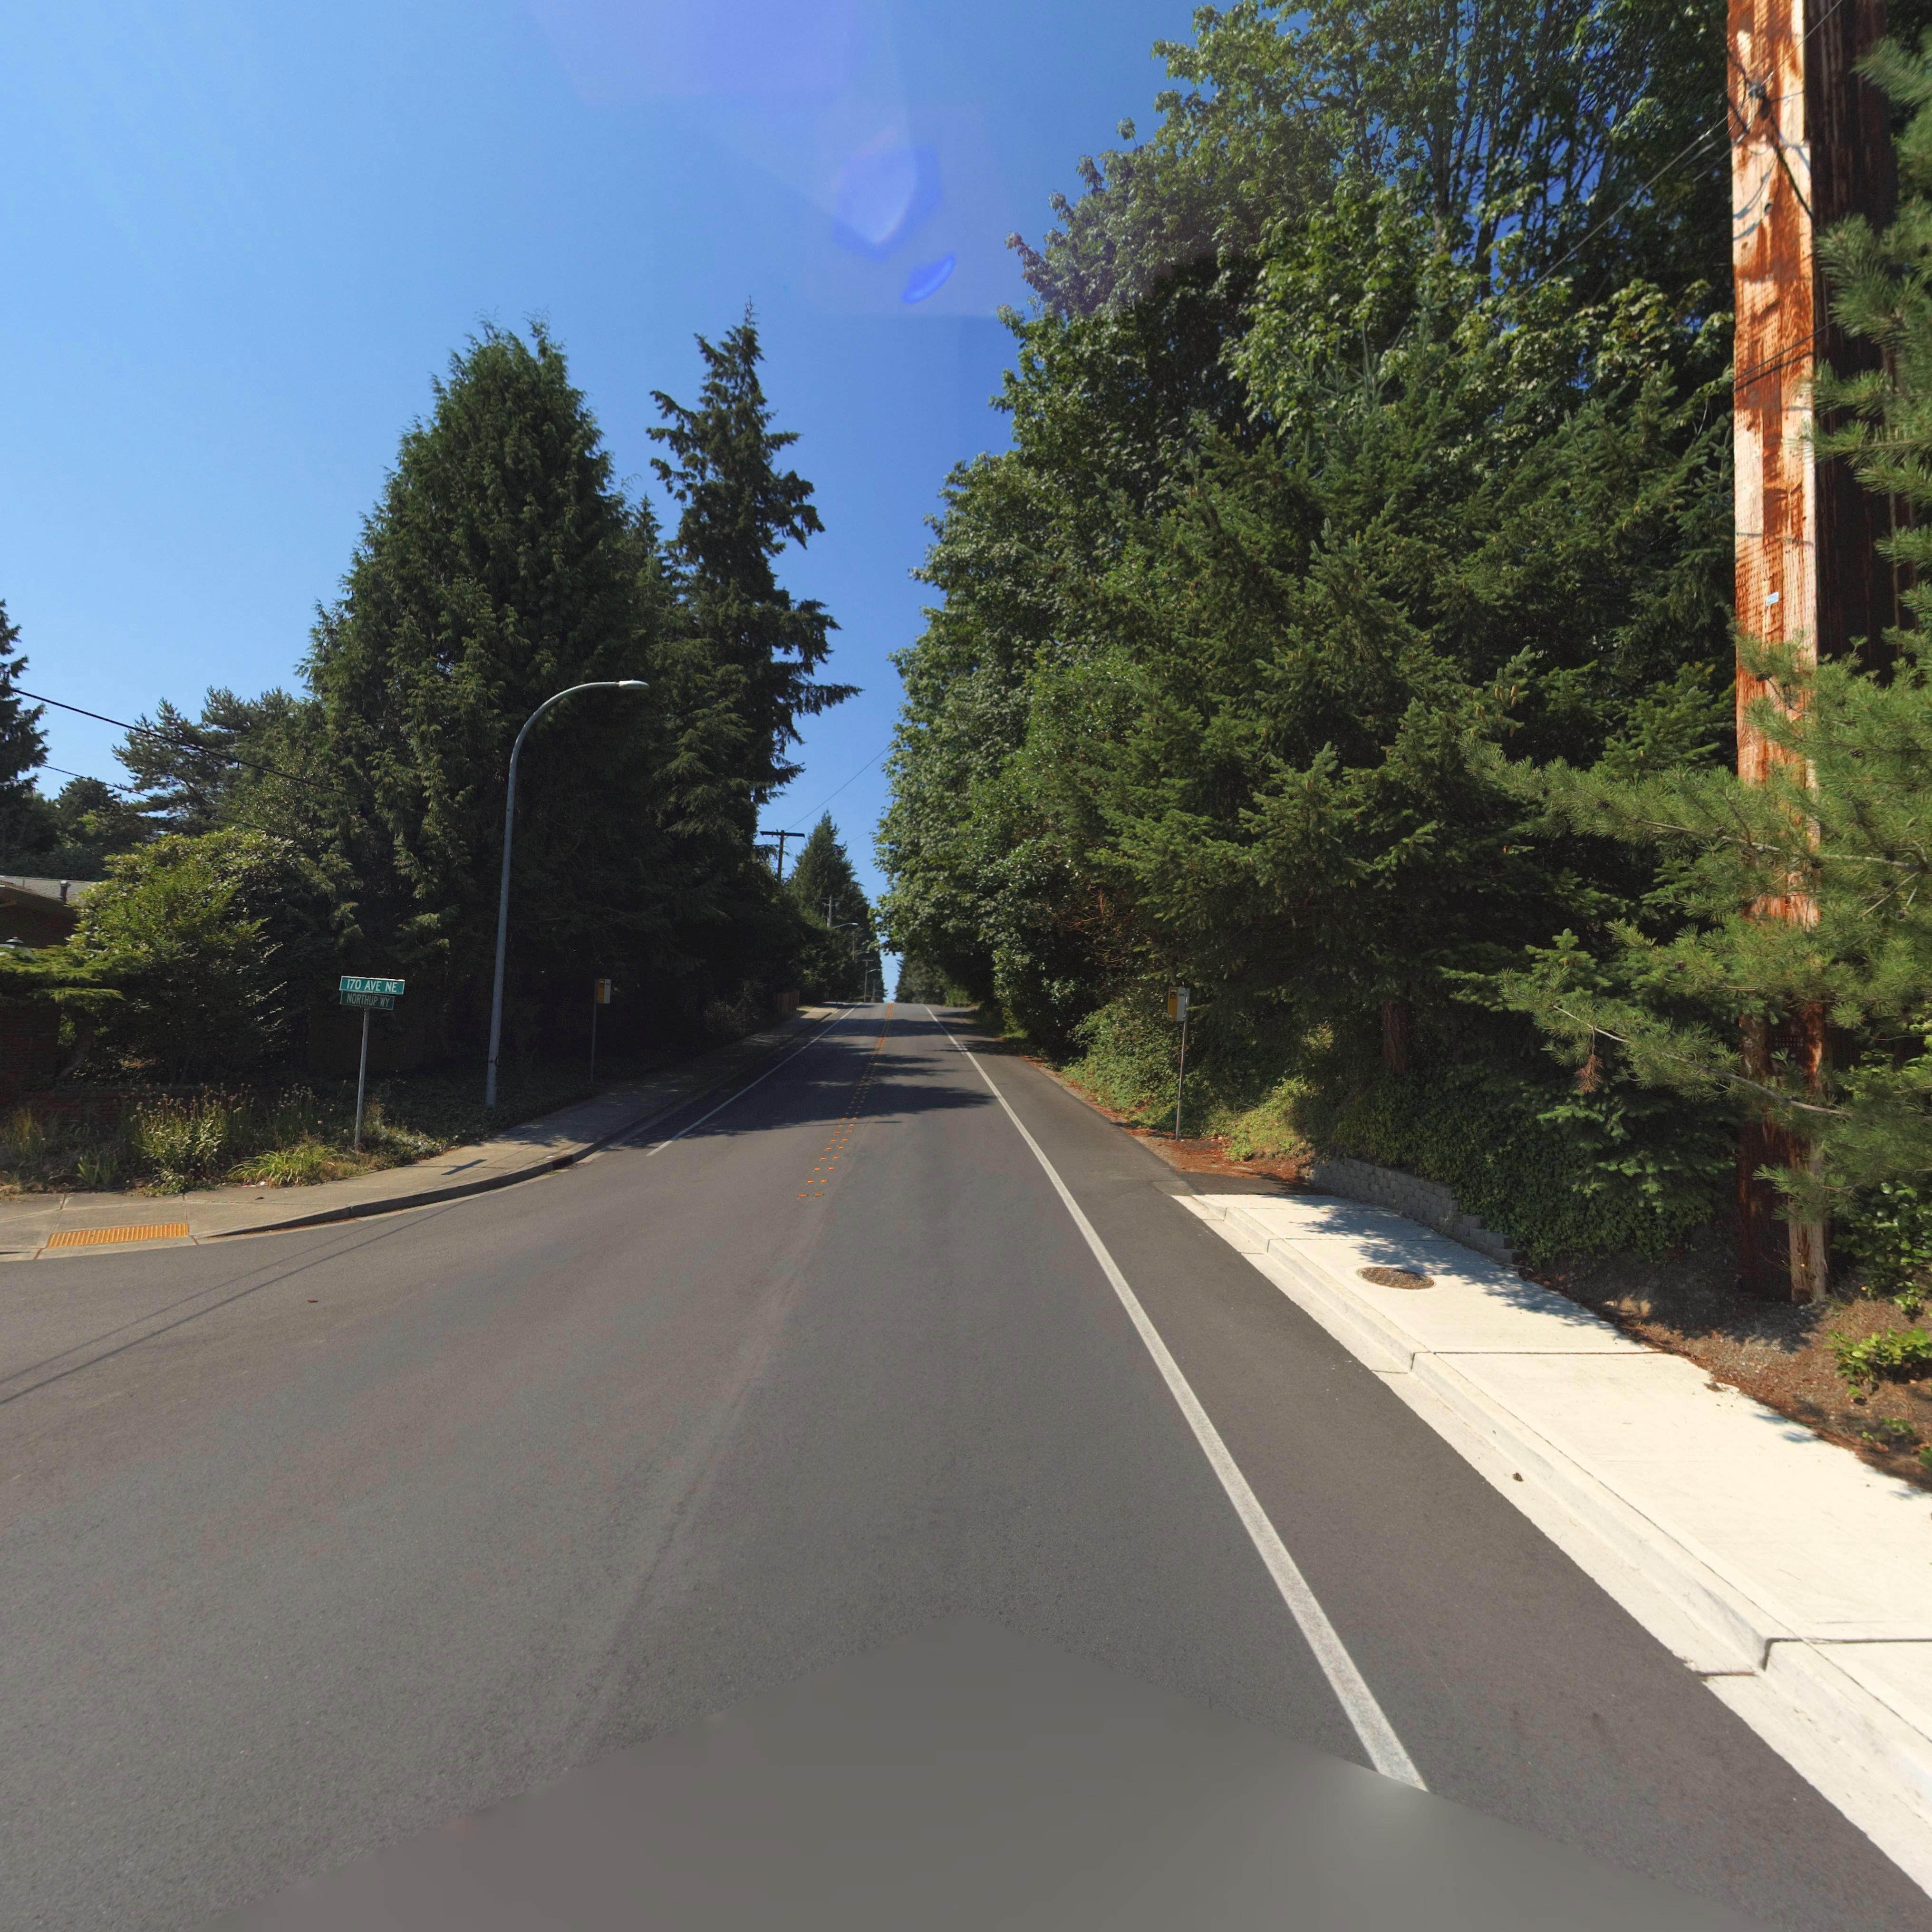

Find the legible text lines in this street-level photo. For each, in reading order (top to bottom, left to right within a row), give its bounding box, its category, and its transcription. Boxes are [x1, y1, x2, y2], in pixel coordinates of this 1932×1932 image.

[345, 977, 398, 993] StreetName: 170 AVE NE
[345, 991, 391, 1008] StreetName: NORTHUP WY